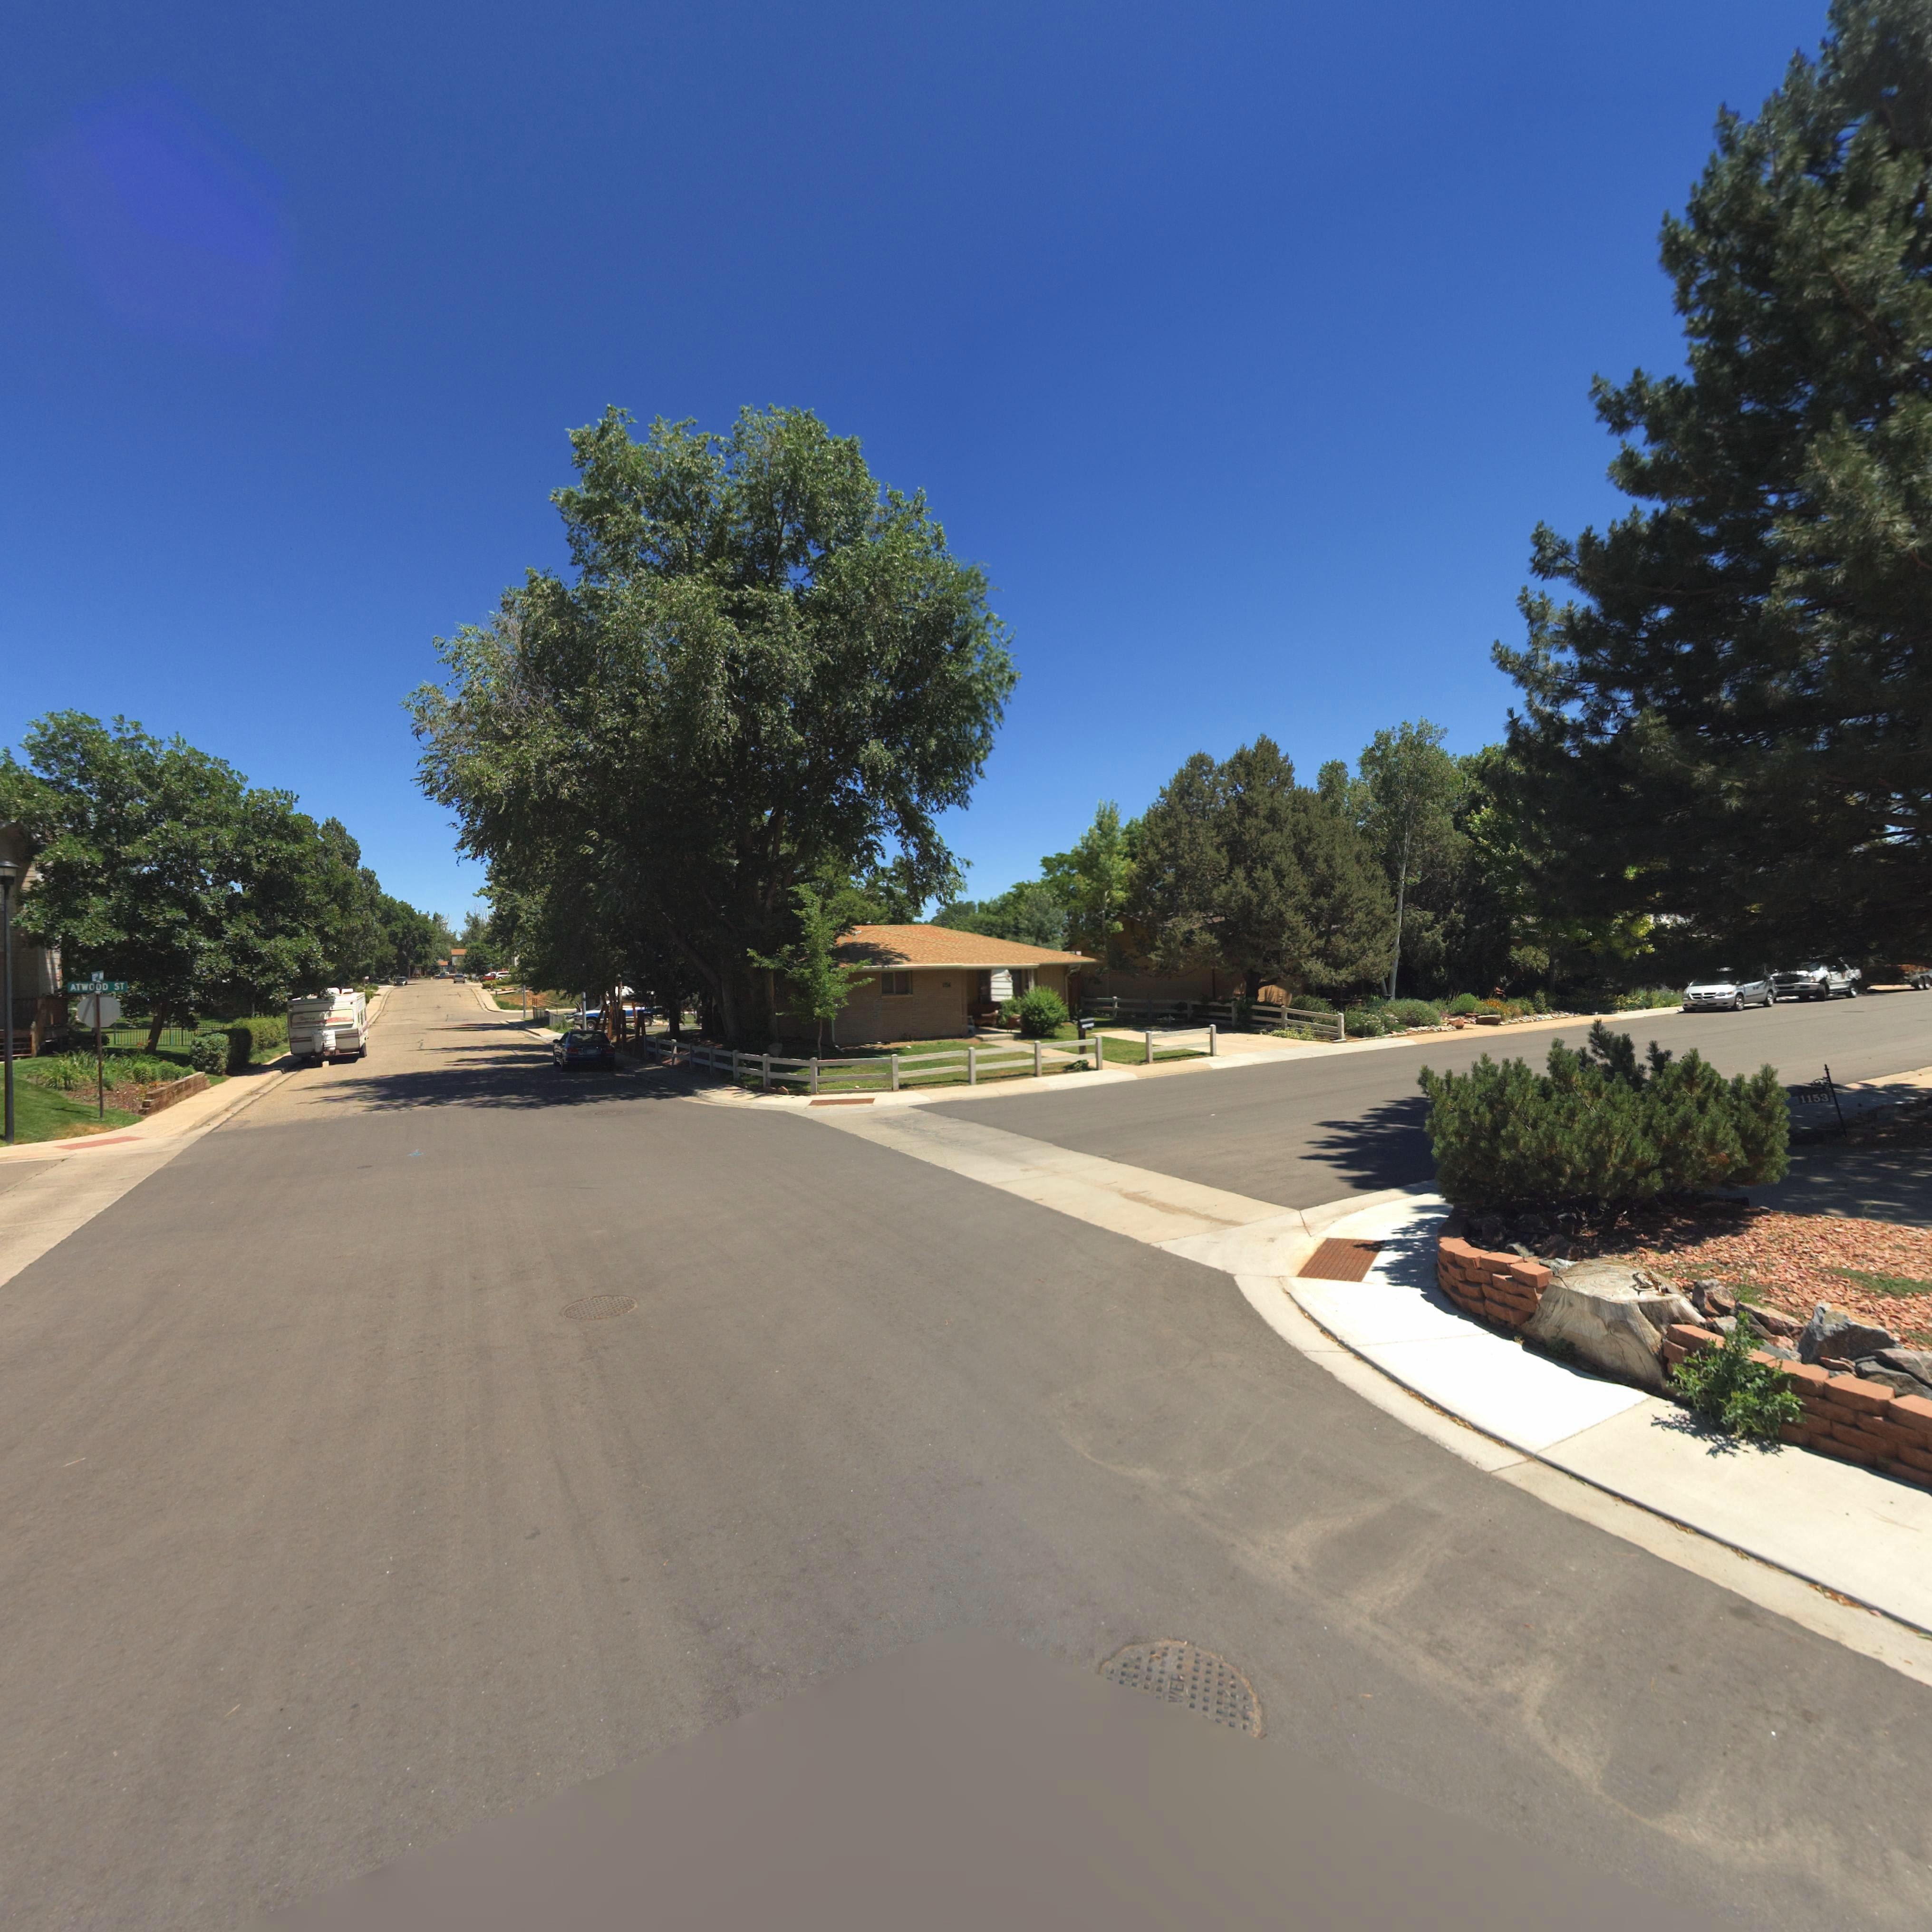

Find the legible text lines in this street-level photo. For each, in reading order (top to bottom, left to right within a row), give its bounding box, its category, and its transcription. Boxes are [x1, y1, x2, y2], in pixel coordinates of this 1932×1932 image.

[91, 971, 104, 982] StreetName: 12* AV
[69, 982, 126, 991] StreetName: ATWOOD ST
[942, 981, 951, 988] StreetNumber: 1156
[1800, 1092, 1829, 1103] StreetNumber: 1153